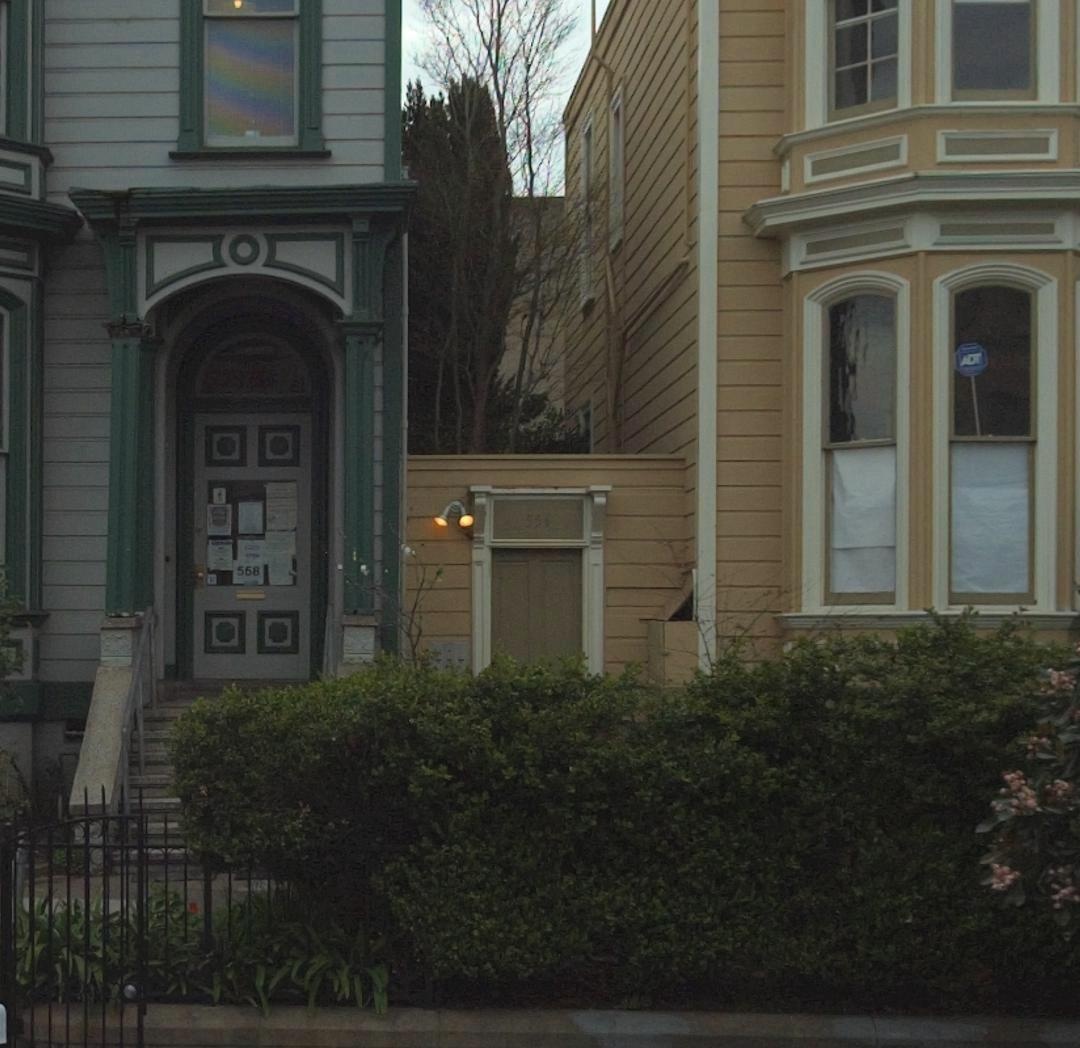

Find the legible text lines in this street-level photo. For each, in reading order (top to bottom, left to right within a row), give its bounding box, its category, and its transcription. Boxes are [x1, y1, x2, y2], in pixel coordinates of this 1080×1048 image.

[959, 353, 982, 367] None: ADT
[525, 513, 552, 528] StreetNumber: 554
[236, 565, 260, 577] StreetNumber: 558